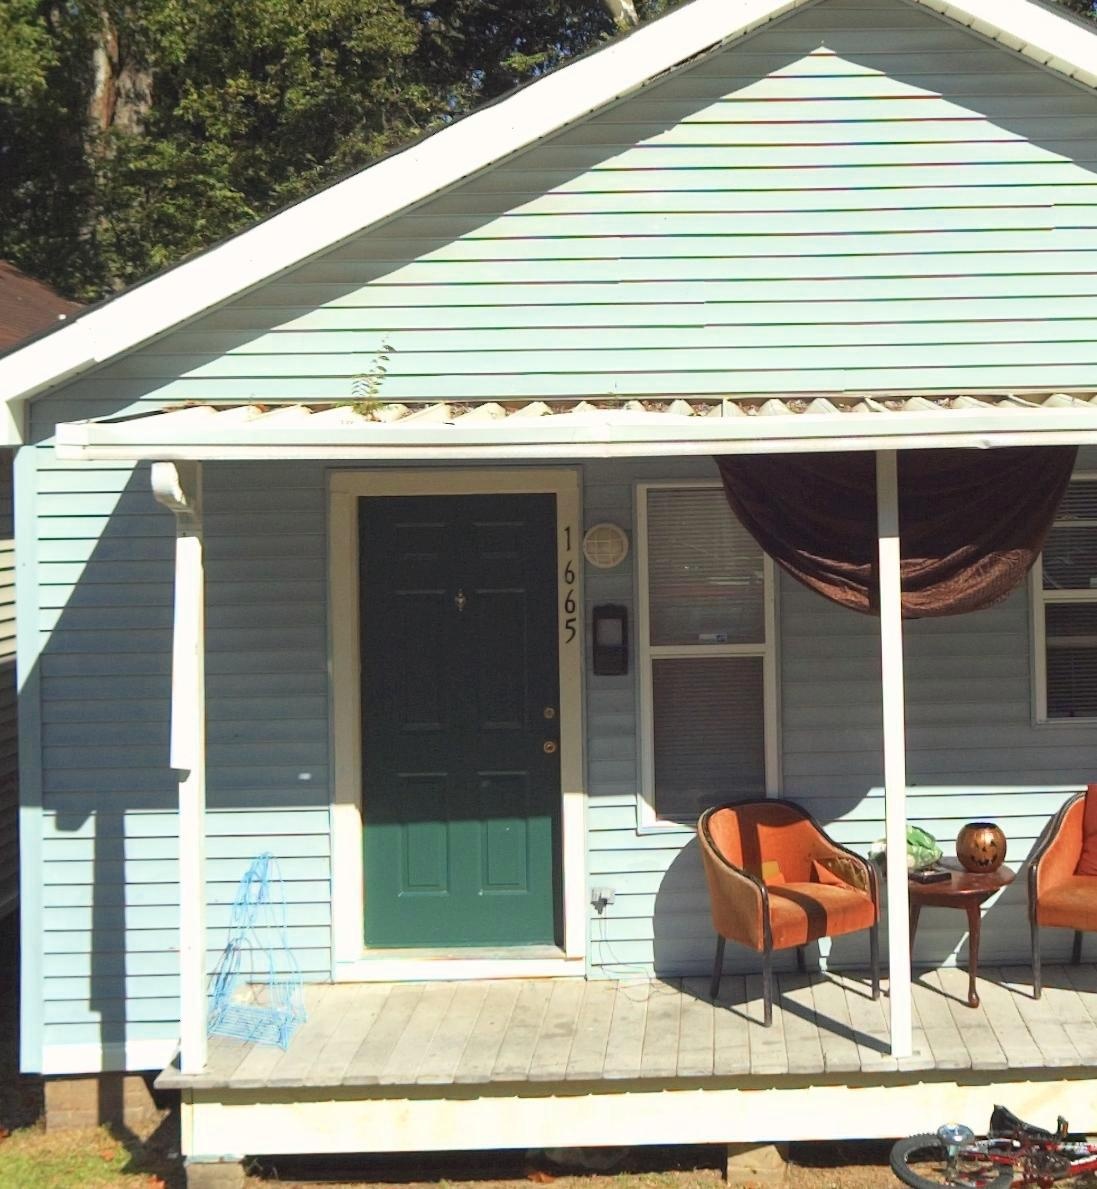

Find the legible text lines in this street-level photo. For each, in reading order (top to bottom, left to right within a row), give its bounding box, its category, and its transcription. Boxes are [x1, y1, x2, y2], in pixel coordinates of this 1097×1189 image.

[562, 523, 579, 646] StreetNumber: 1665